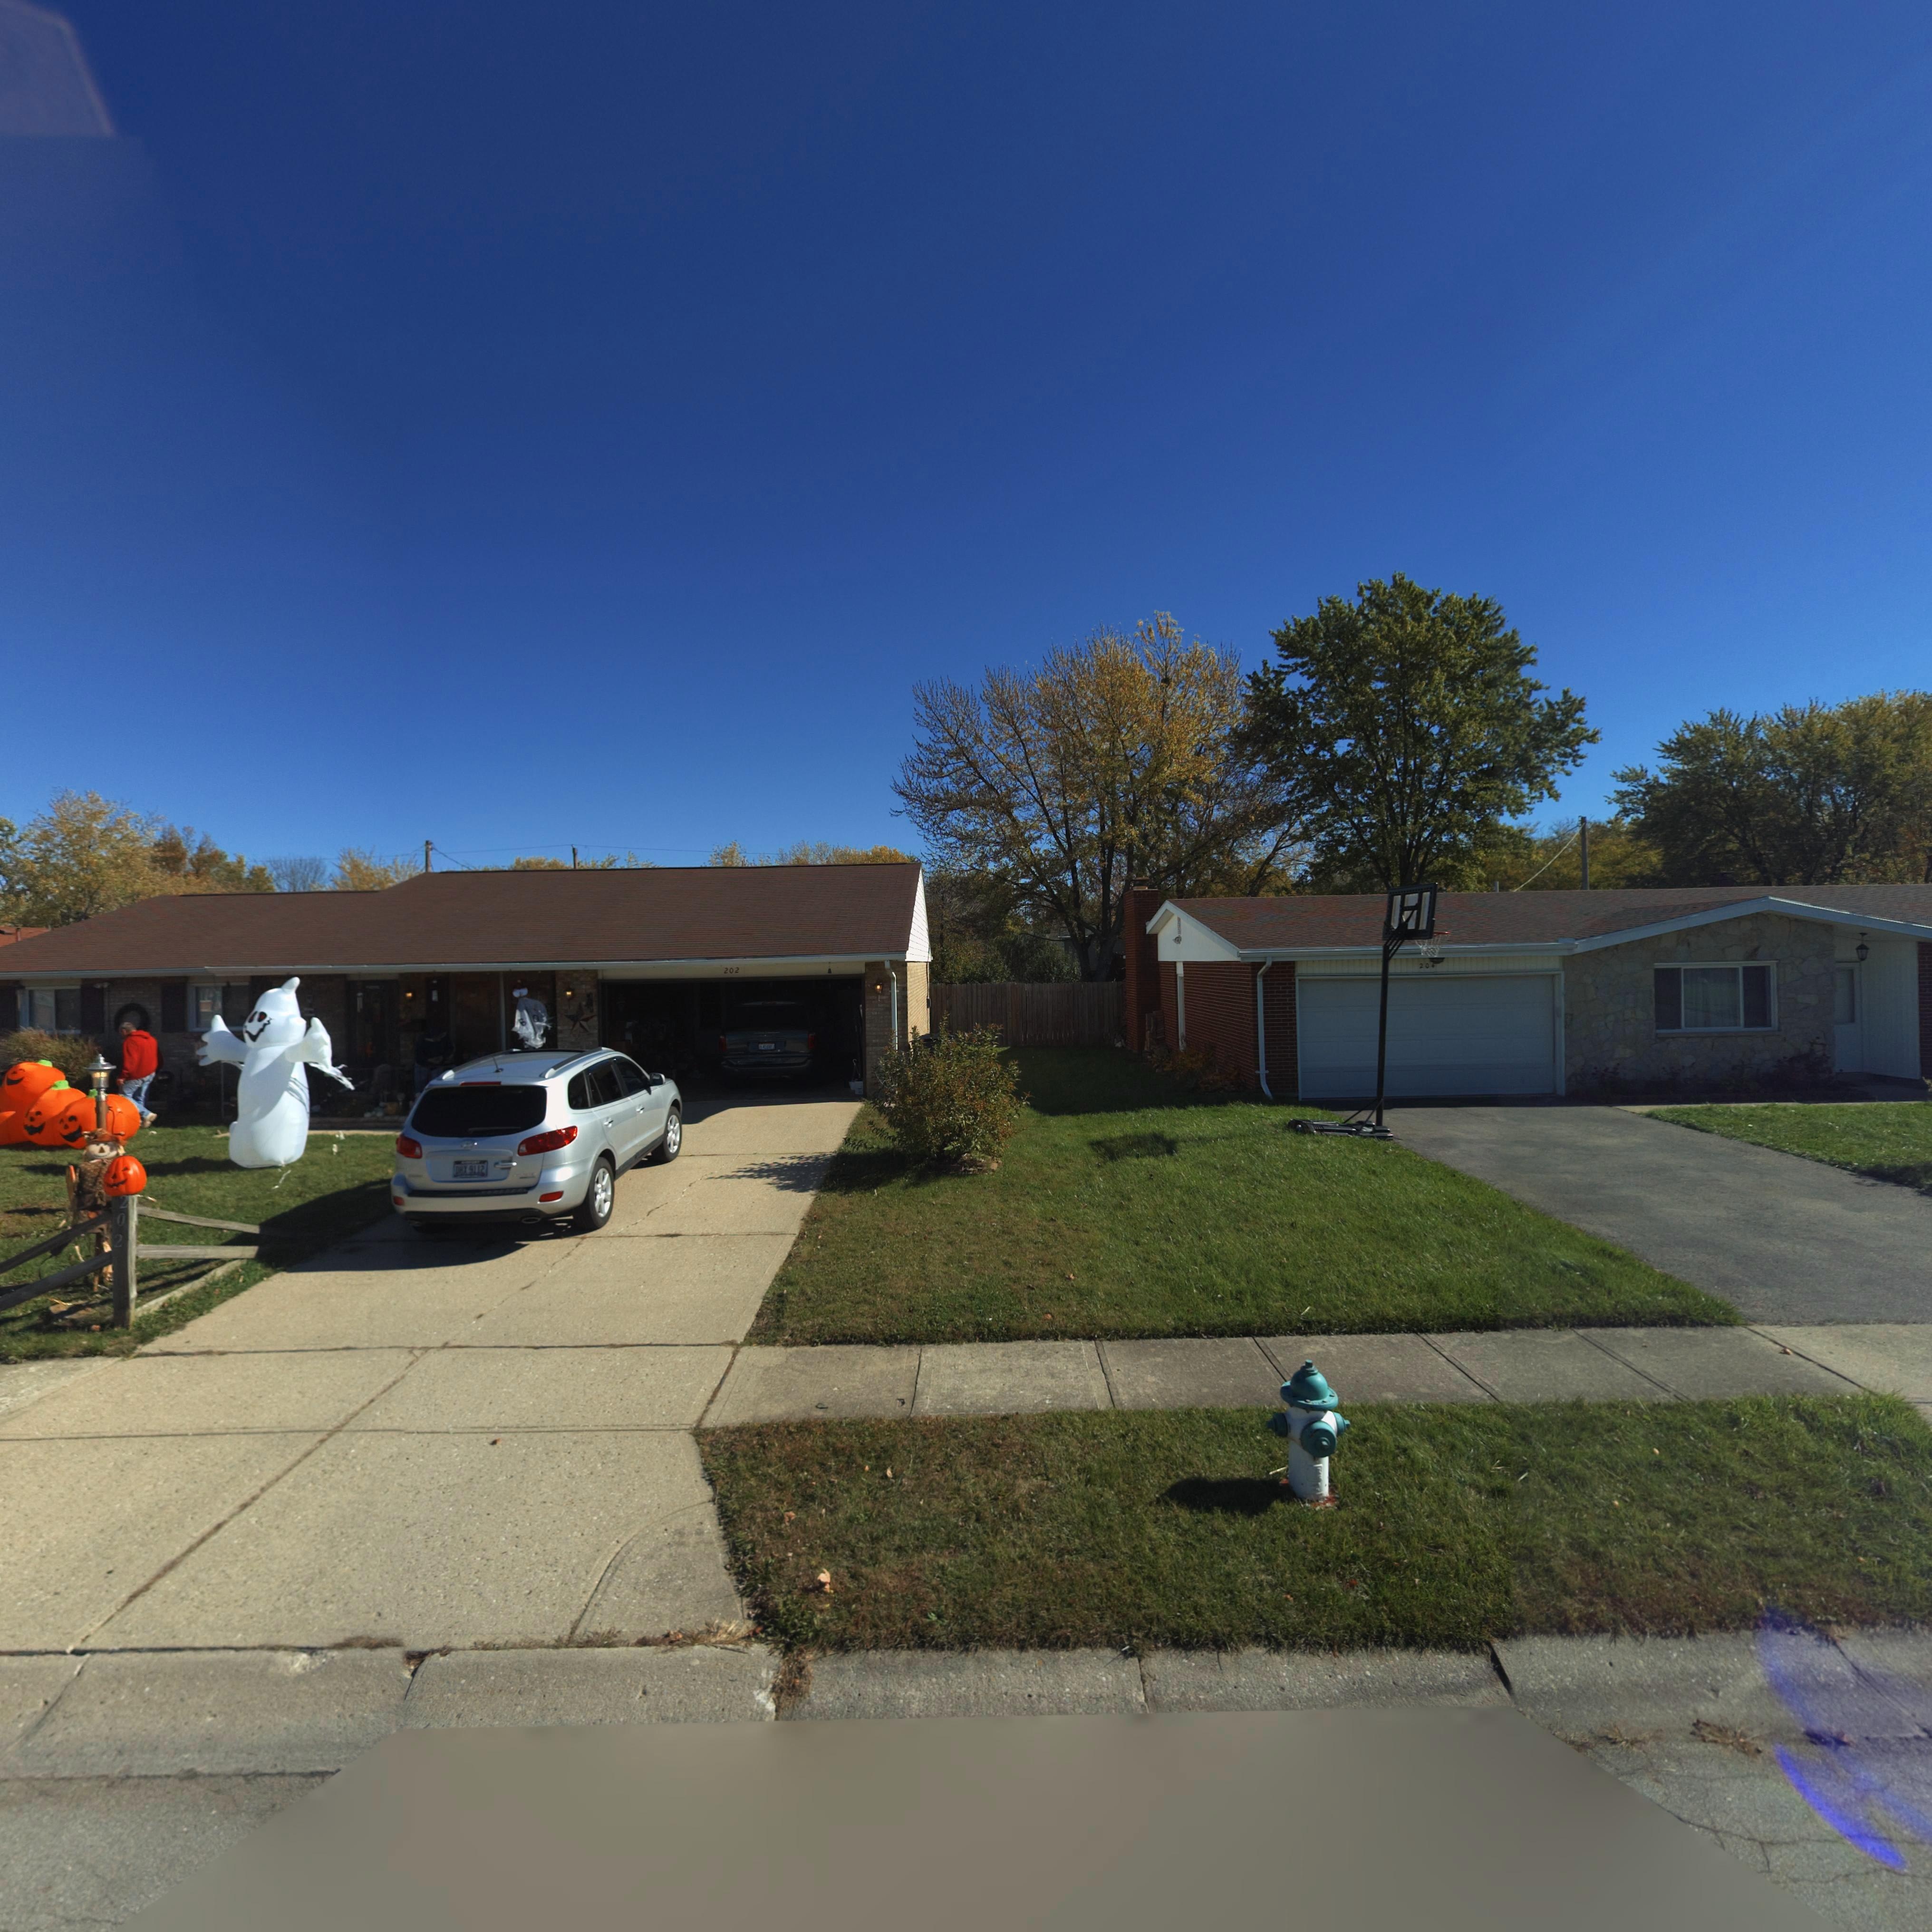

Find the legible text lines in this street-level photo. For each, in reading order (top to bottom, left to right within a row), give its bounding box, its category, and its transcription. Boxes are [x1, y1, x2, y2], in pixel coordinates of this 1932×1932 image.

[1419, 962, 1435, 969] StreetNumber: 204
[724, 966, 740, 974] StreetNumber: 202
[112, 1193, 131, 1249] StreetNumber: 202